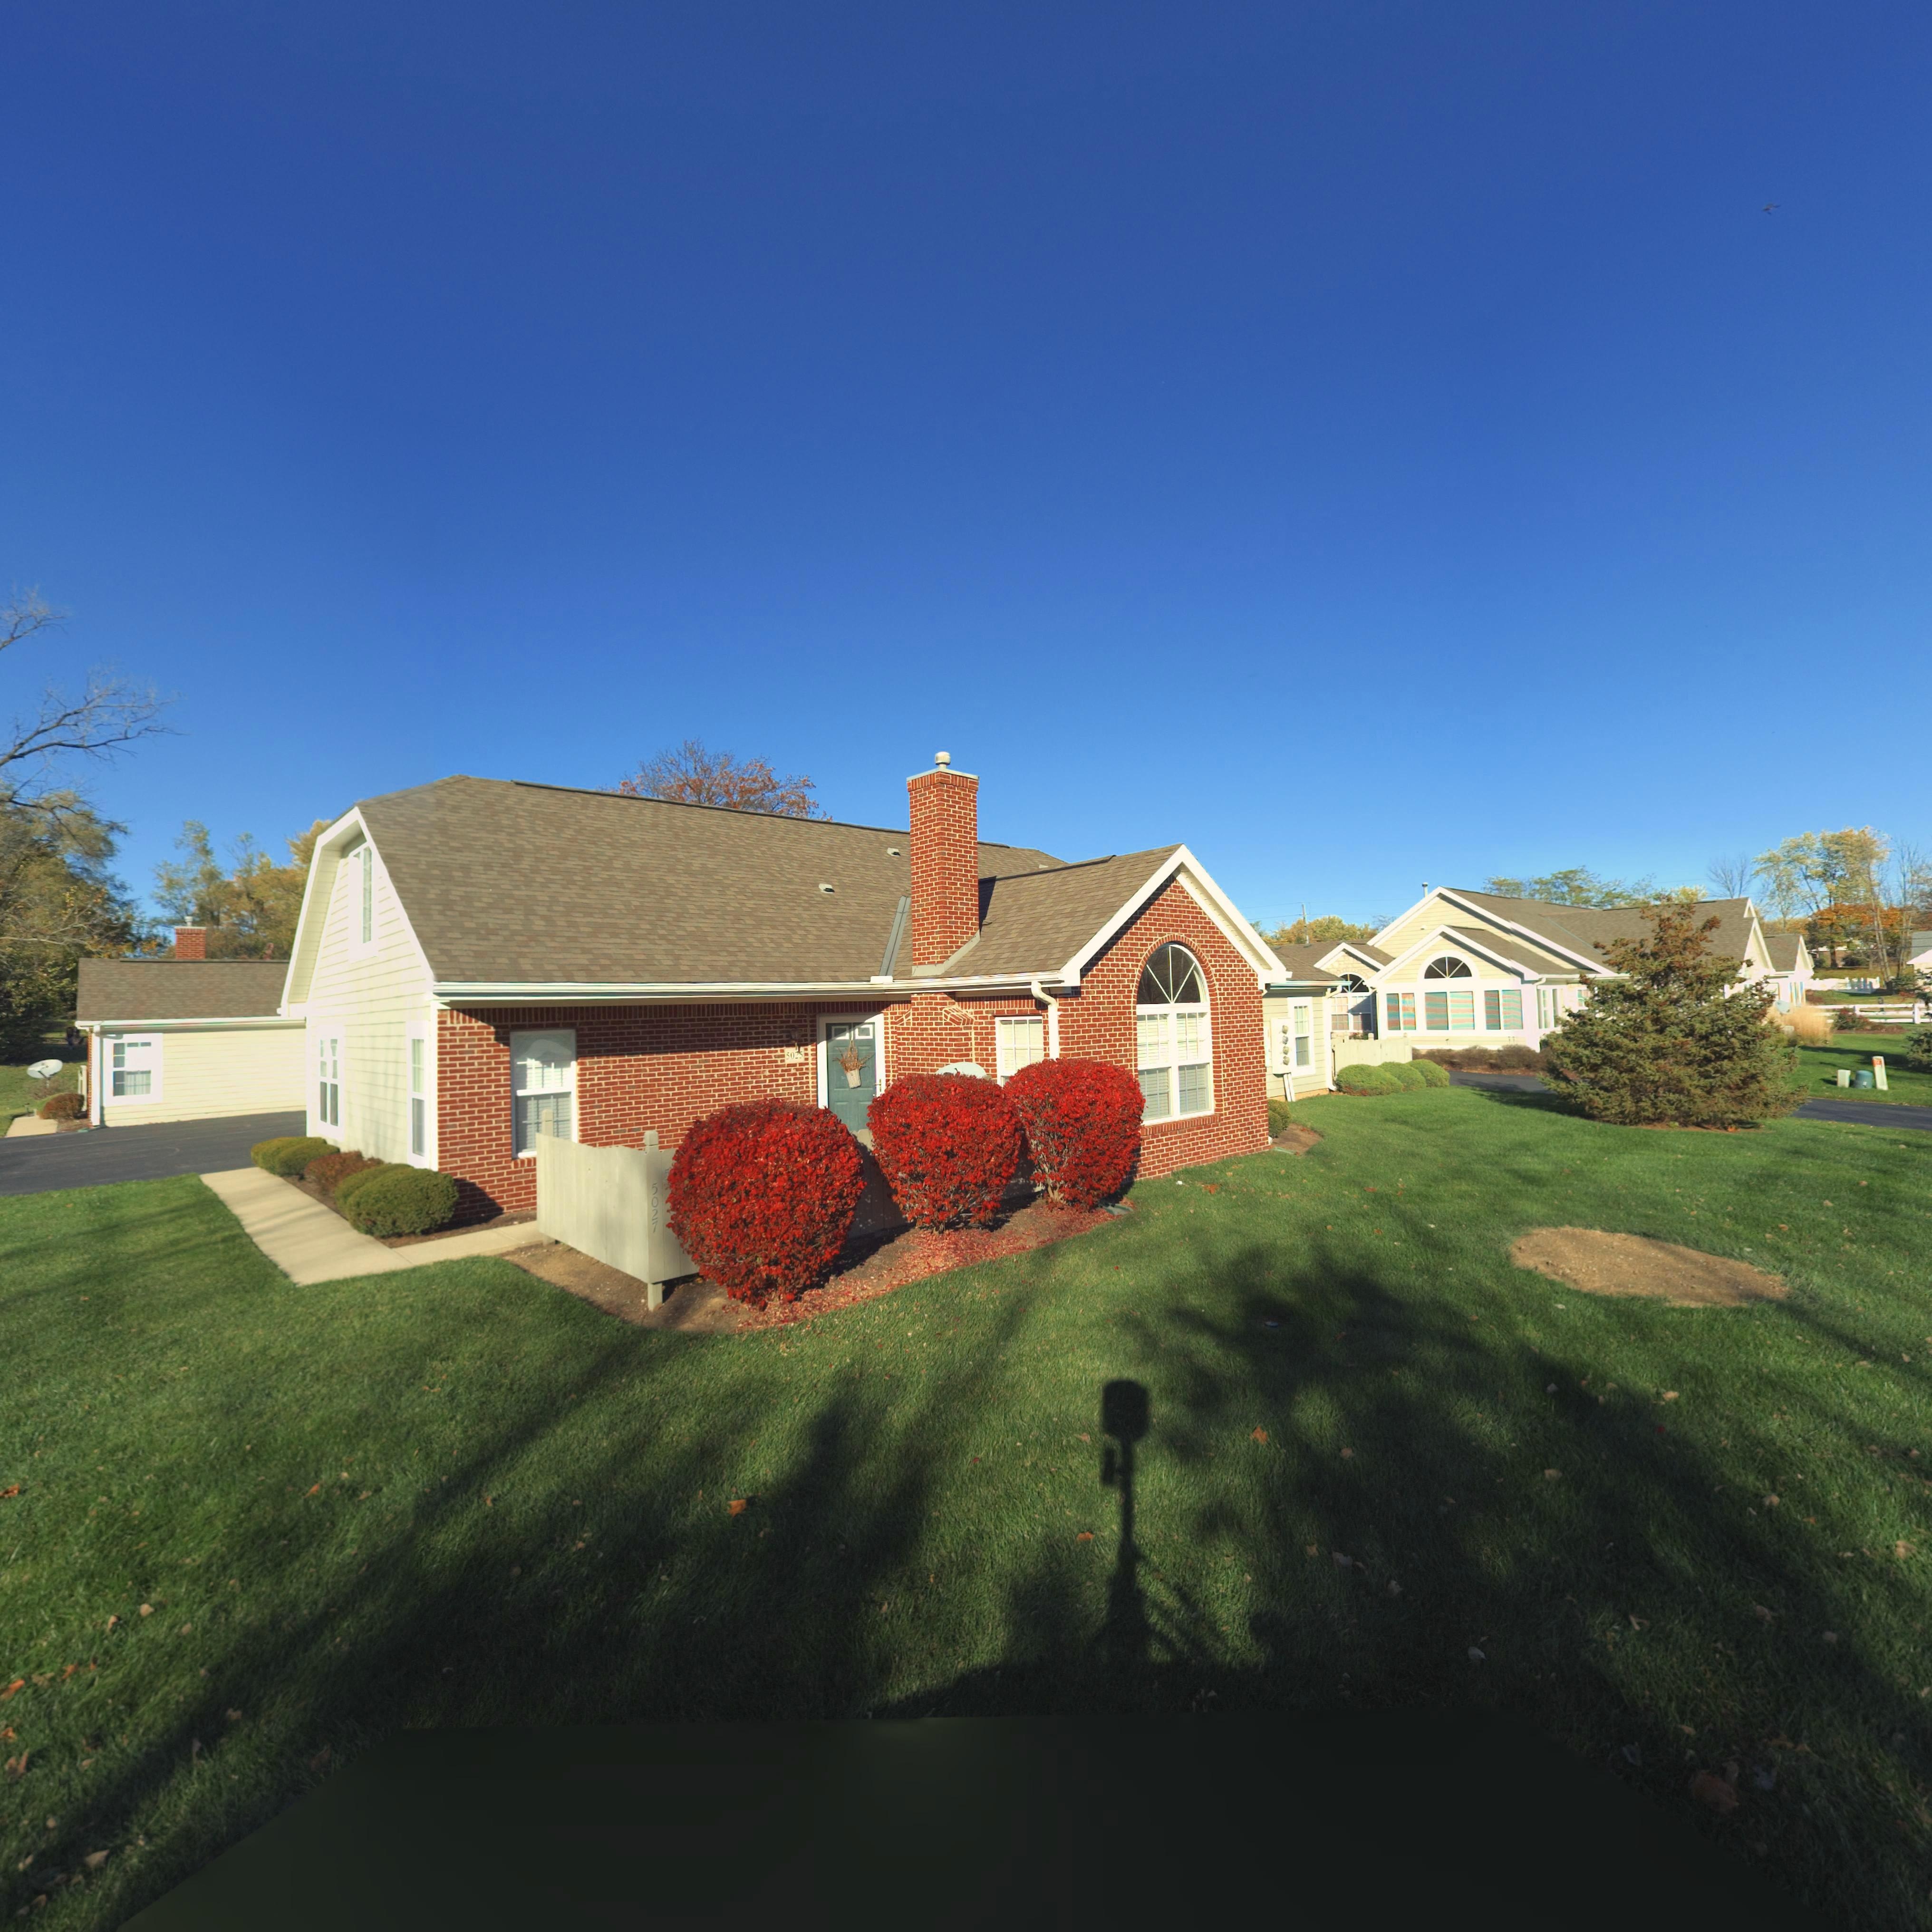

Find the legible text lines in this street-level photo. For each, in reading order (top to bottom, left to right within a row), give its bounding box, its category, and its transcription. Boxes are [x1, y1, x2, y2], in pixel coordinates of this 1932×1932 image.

[785, 1050, 804, 1062] StreetNumber: 5025
[650, 1181, 660, 1235] StreetNumber: 5027